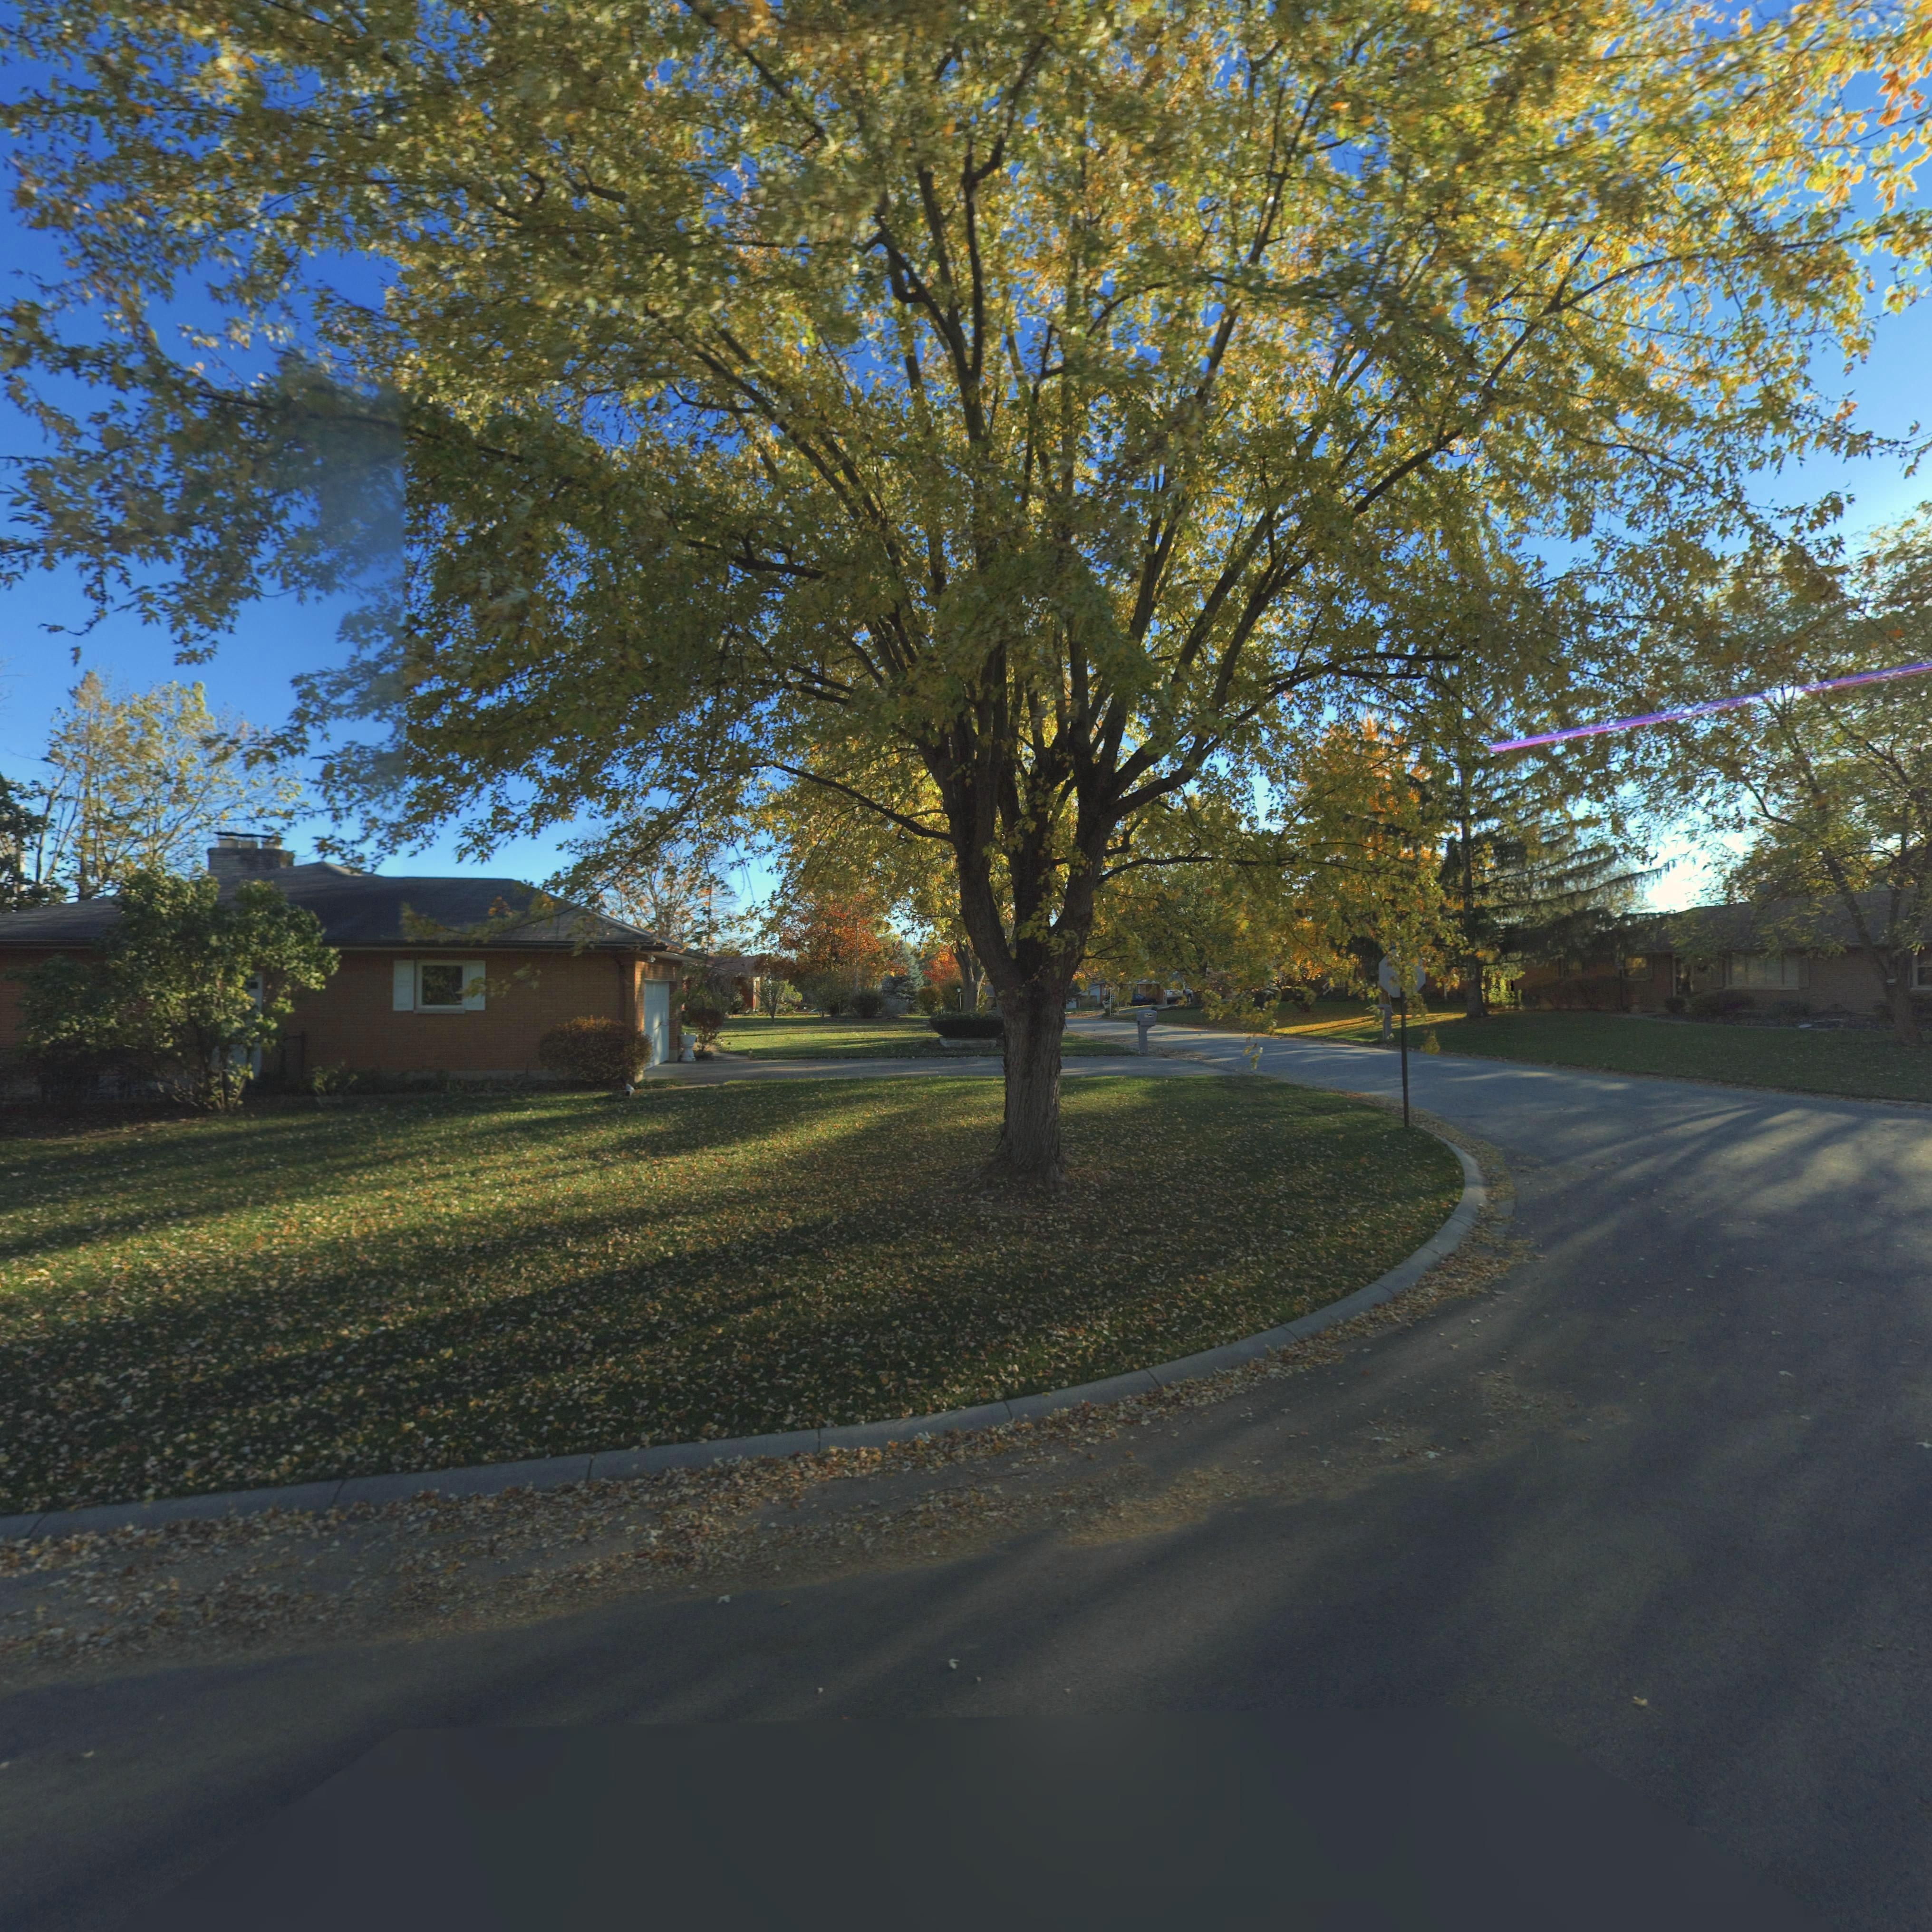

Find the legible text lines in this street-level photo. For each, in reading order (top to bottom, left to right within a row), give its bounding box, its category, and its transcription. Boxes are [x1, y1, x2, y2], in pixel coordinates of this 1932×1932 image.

[1144, 1013, 1154, 1017] StreetNumber: 7*40